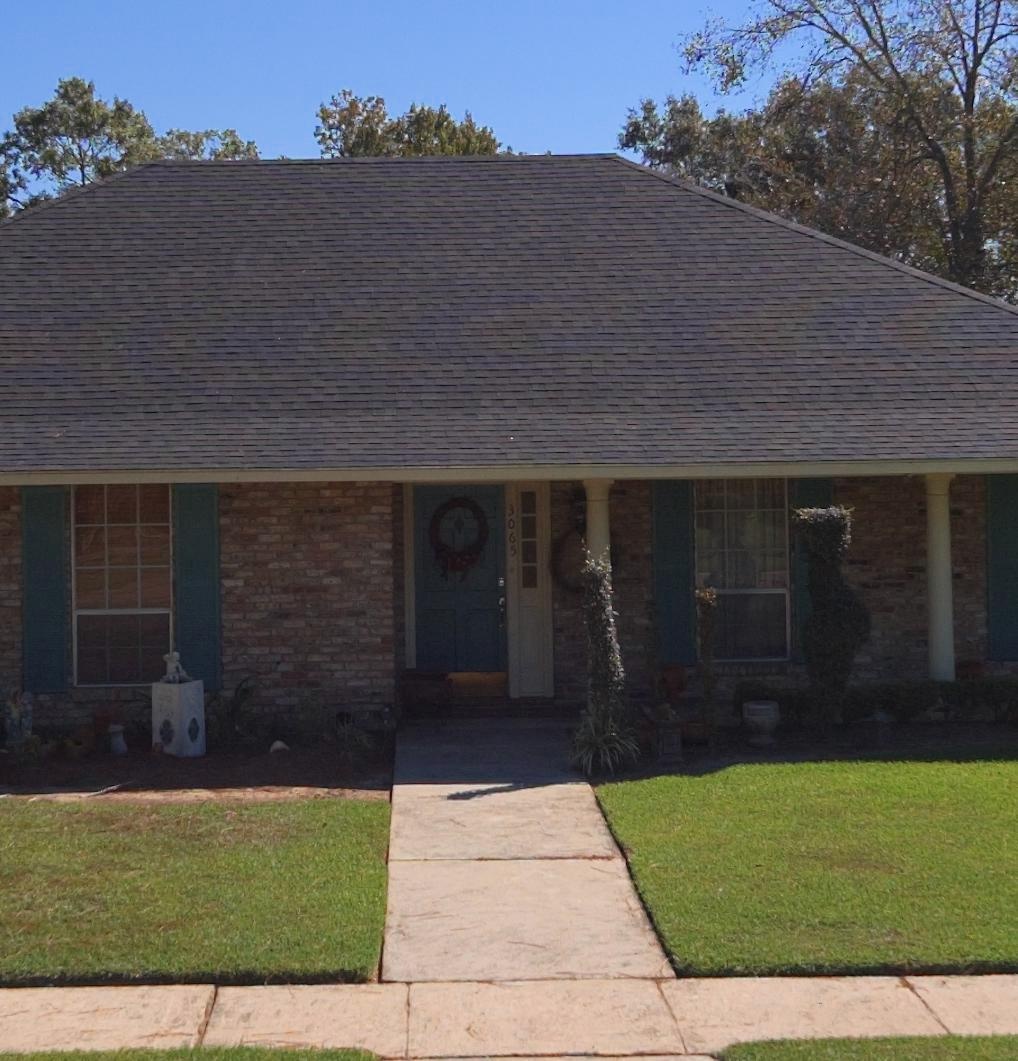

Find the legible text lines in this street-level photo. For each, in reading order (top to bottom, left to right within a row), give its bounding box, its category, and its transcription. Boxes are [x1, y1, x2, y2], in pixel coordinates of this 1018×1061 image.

[506, 500, 518, 559] StreetNumber: 3065